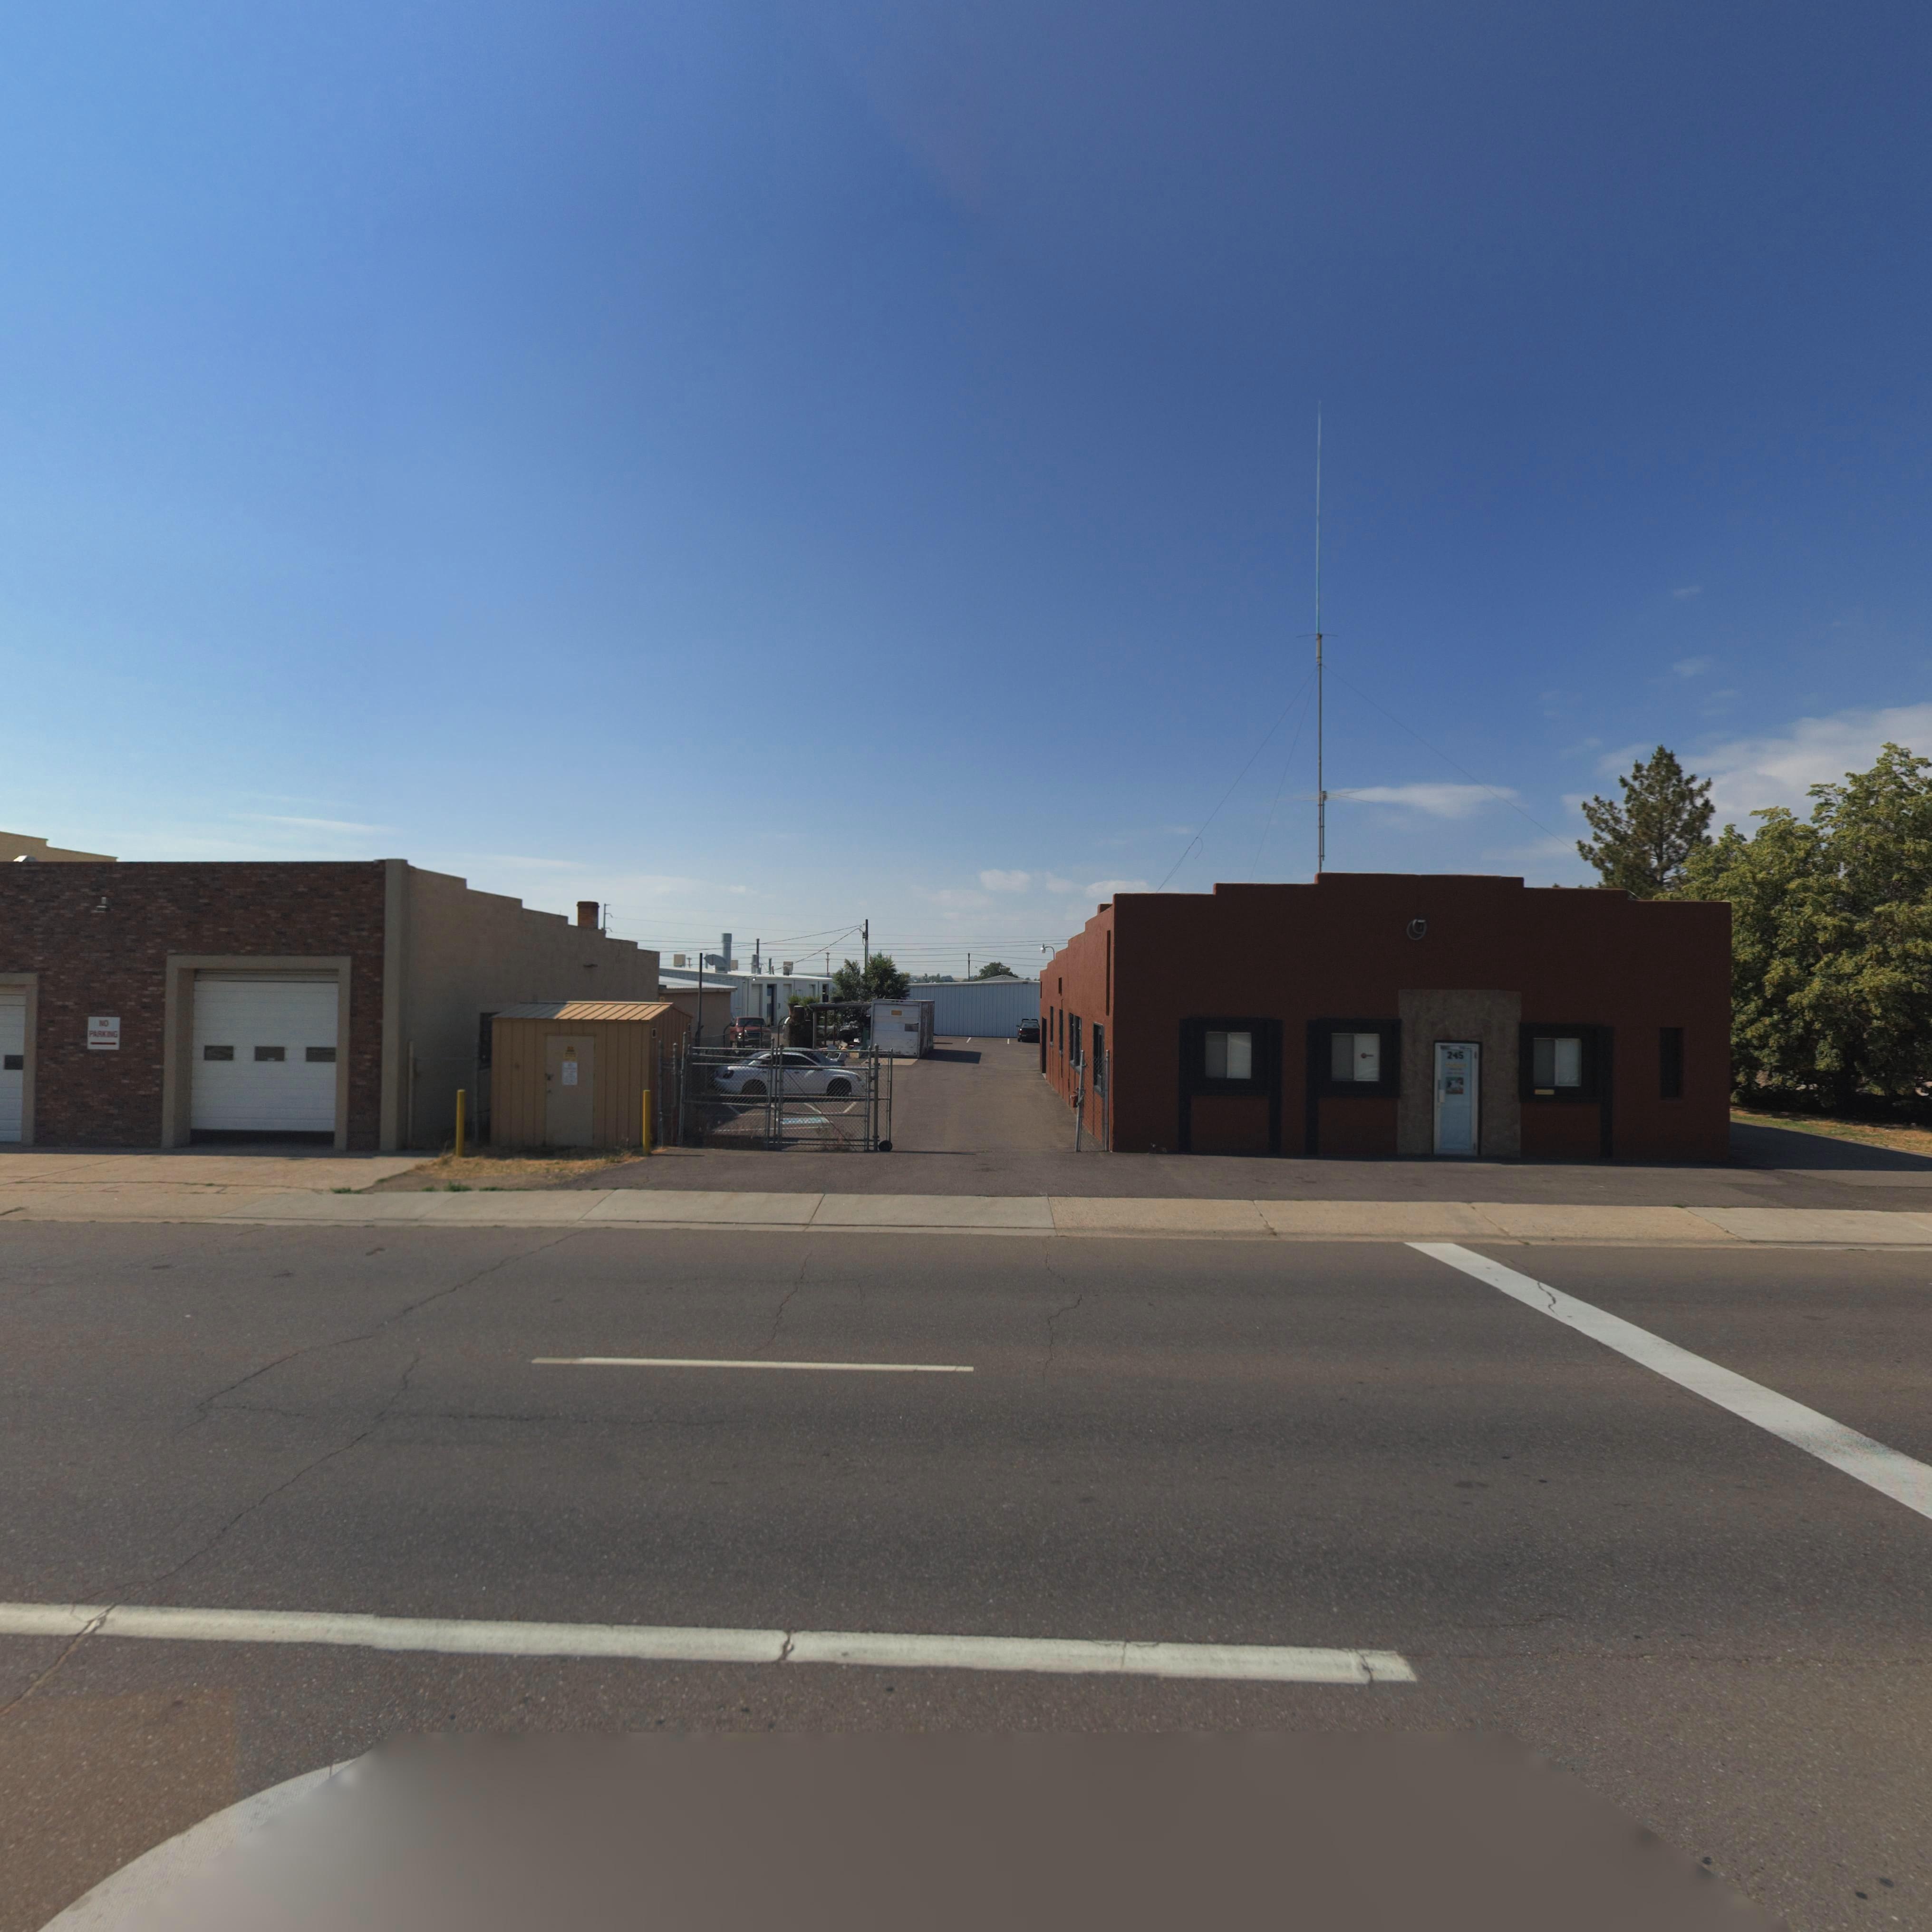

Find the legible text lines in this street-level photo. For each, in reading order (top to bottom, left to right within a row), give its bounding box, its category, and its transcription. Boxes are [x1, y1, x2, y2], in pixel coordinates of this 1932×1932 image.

[1446, 1051, 1464, 1059] StreetNumber: 245